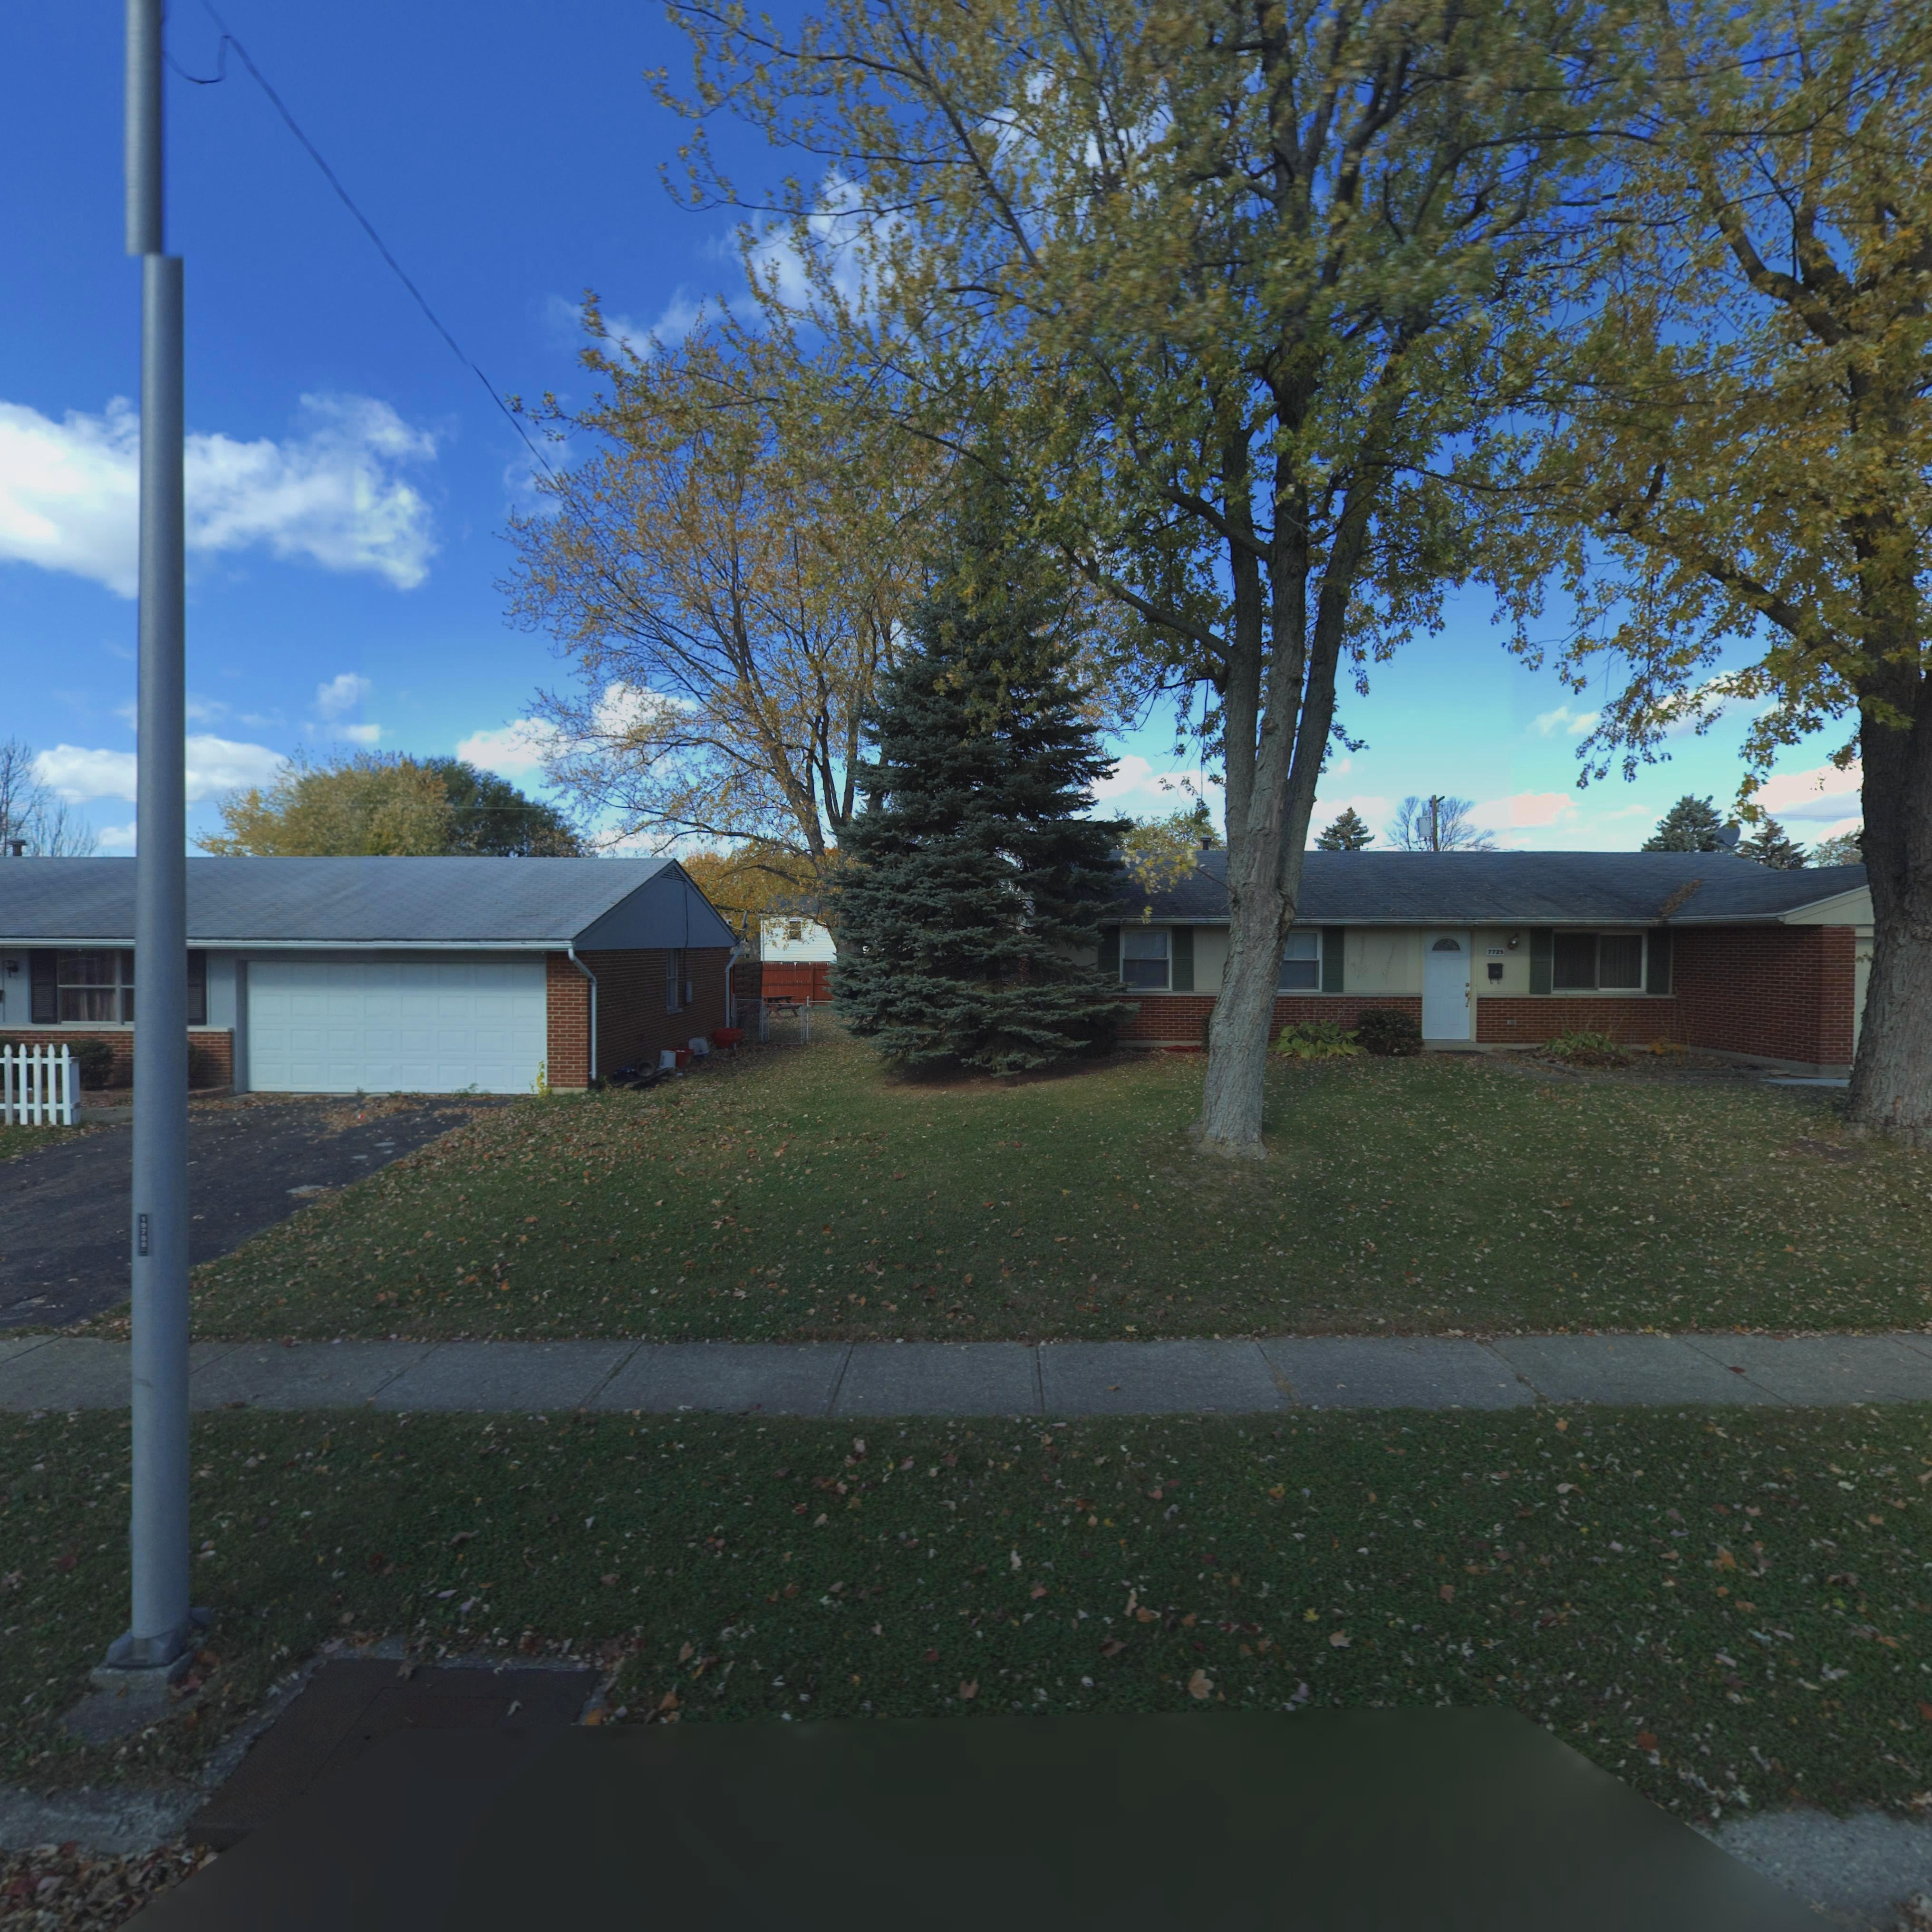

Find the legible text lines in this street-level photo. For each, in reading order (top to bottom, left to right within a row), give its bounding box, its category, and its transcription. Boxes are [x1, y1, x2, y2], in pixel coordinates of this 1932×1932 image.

[1487, 949, 1504, 955] StreetNumber: 7725